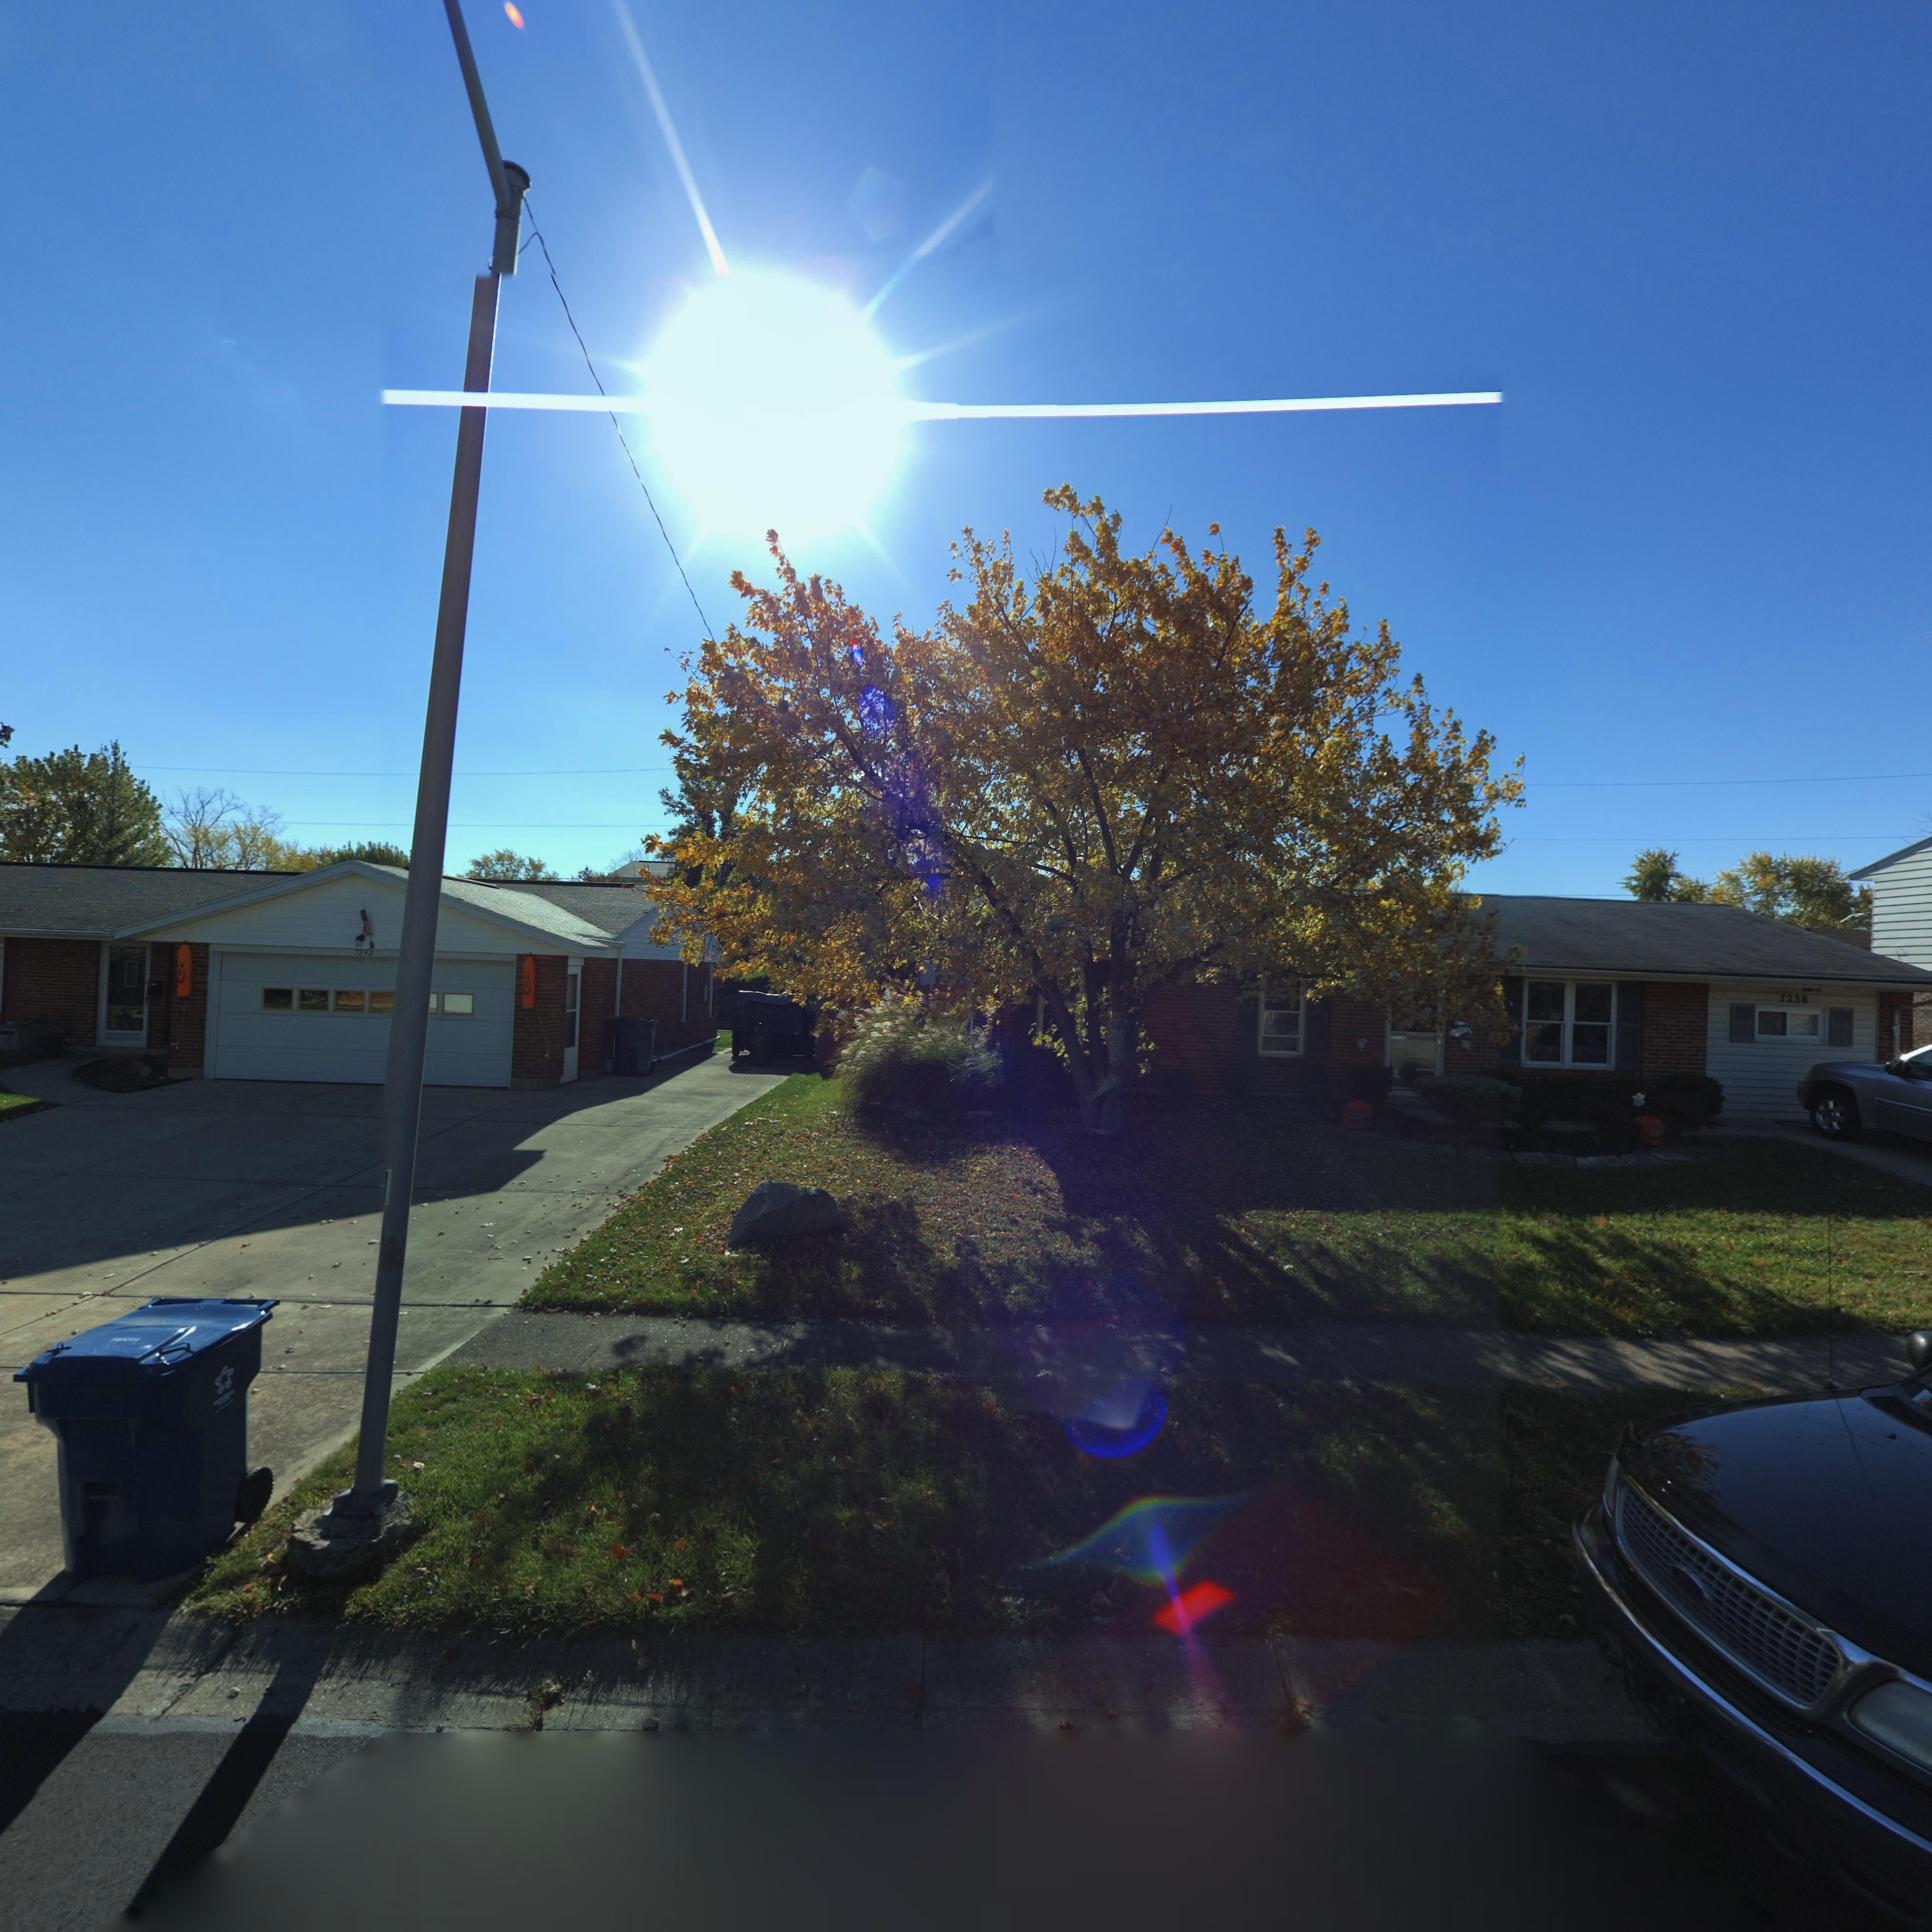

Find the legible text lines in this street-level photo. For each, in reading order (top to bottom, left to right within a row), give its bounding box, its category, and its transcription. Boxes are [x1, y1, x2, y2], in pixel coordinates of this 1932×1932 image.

[353, 948, 374, 957] StreetNumber: 7242
[1778, 993, 1810, 1005] StreetNumber: 7238